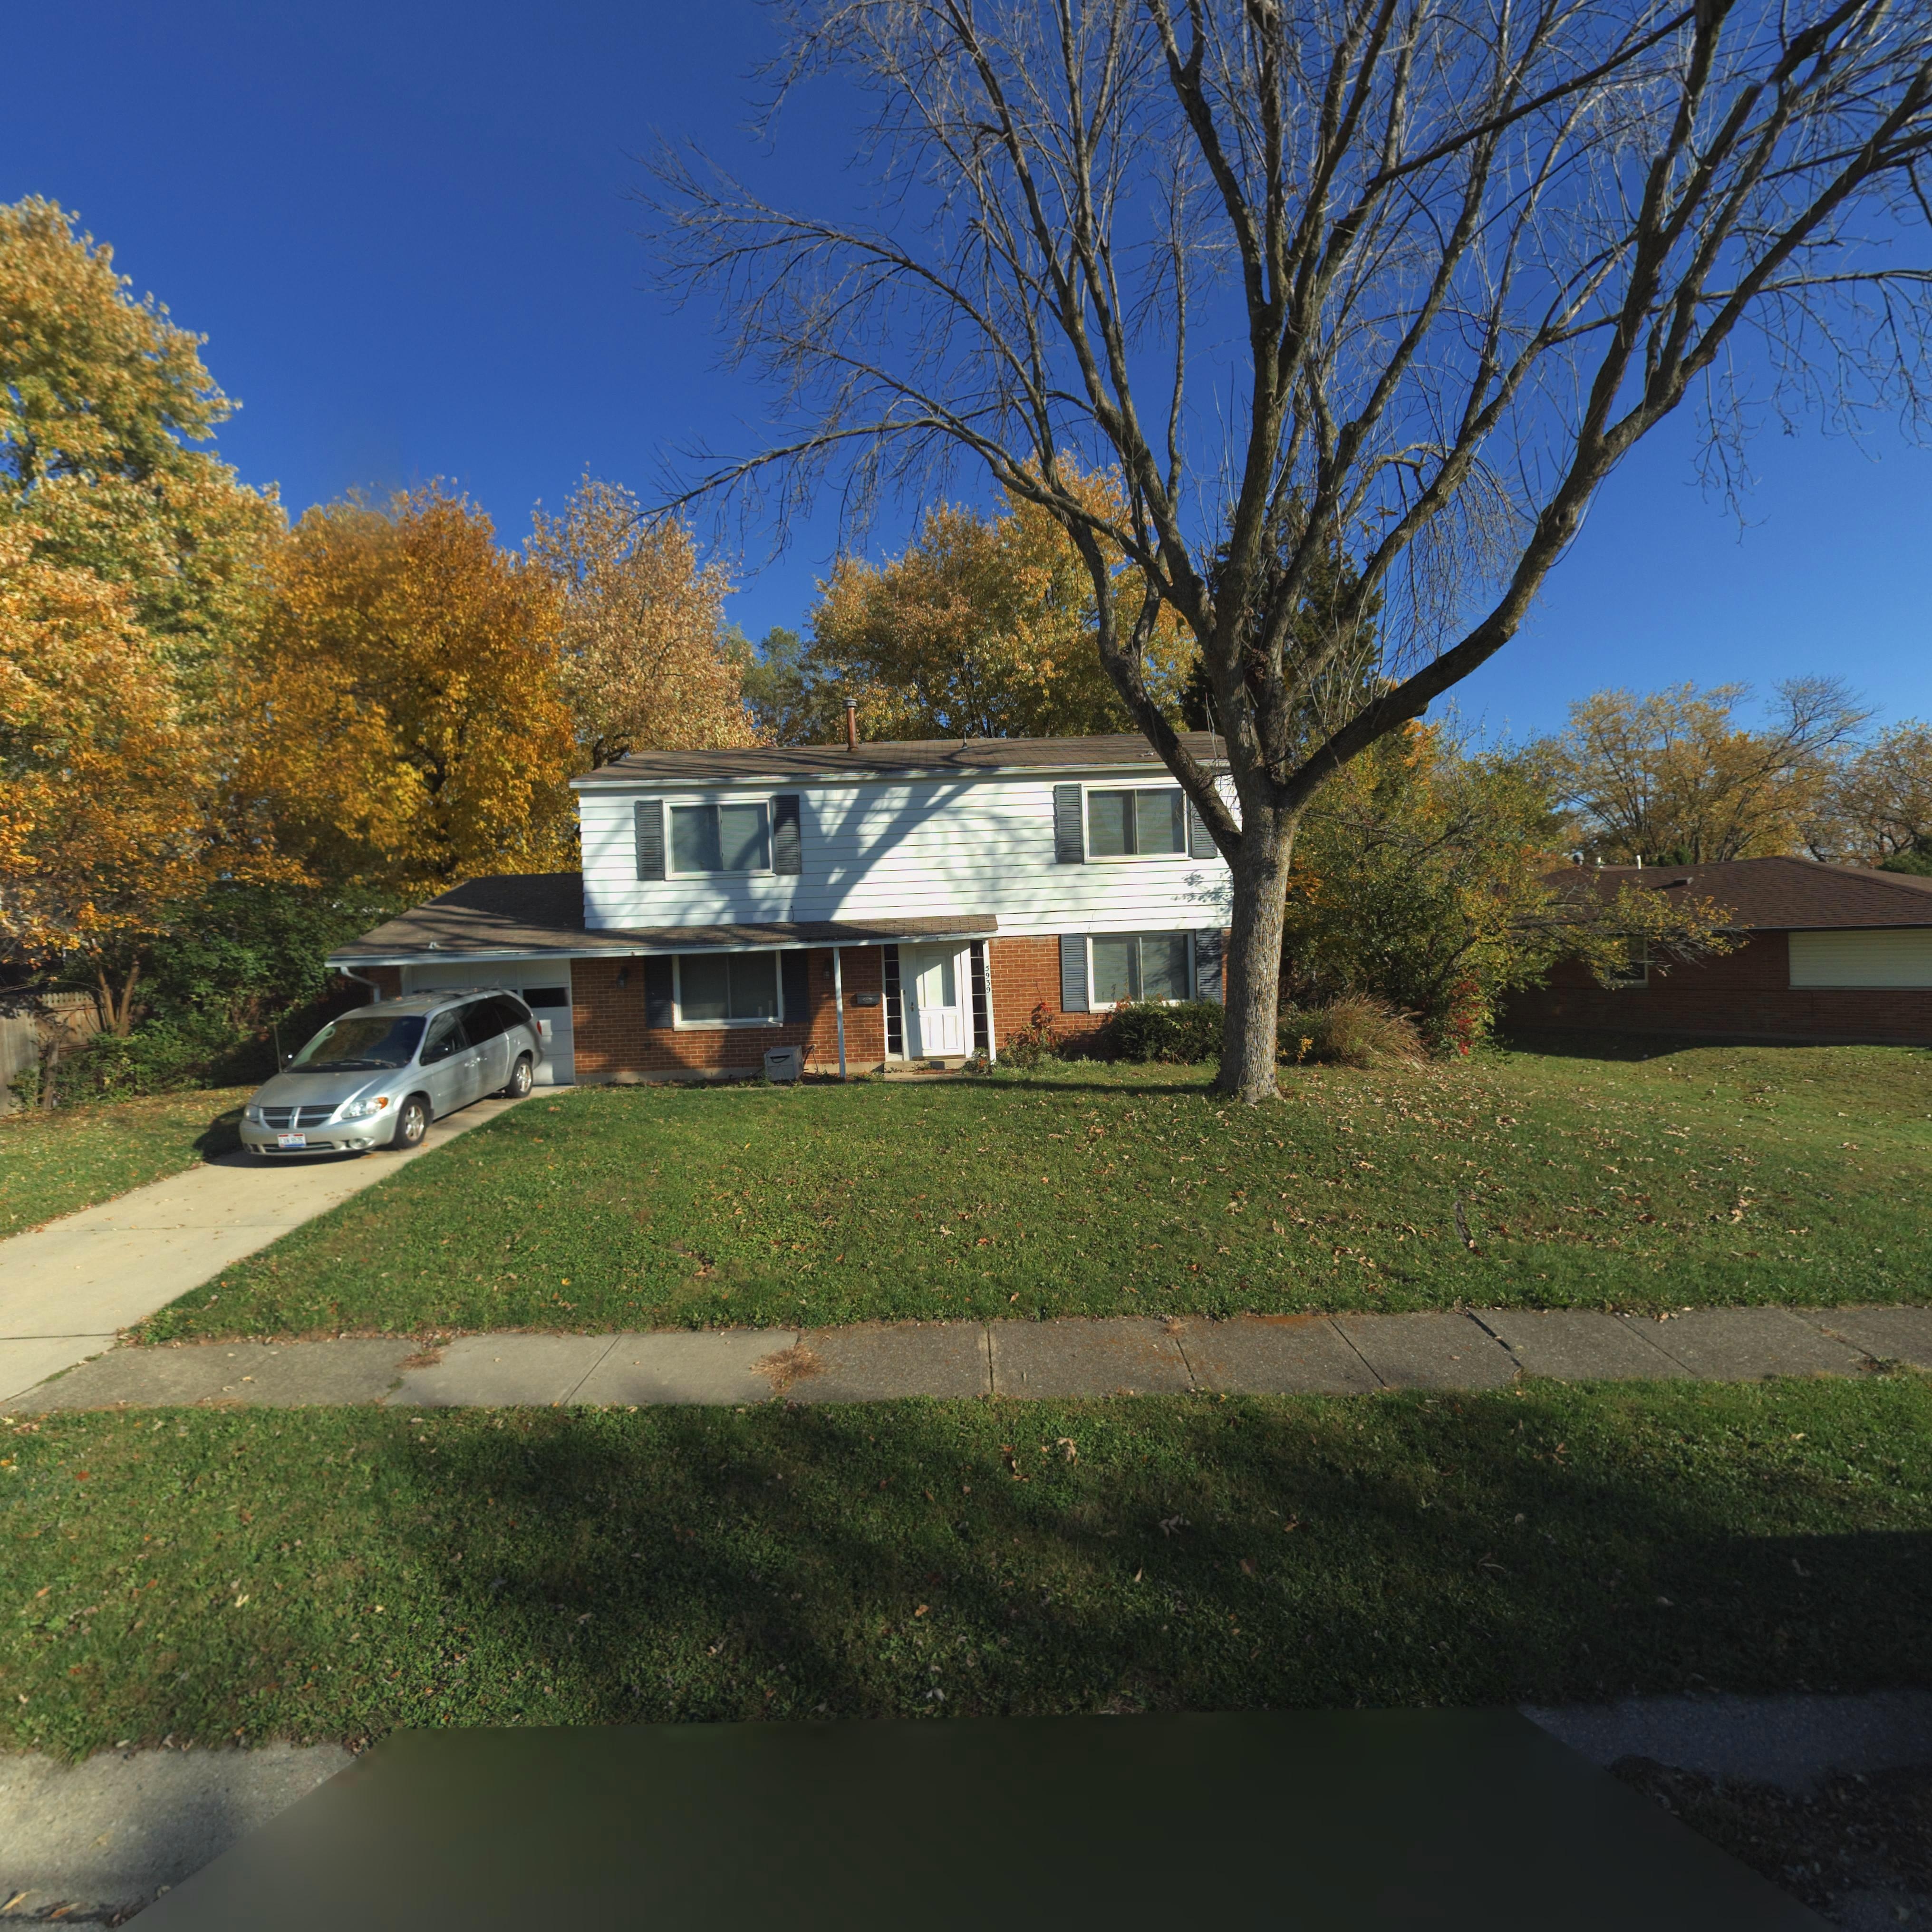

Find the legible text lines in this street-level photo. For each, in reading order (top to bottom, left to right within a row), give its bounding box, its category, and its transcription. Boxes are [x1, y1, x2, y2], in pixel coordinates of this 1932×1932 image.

[984, 964, 992, 995] StreetNumber: 5939